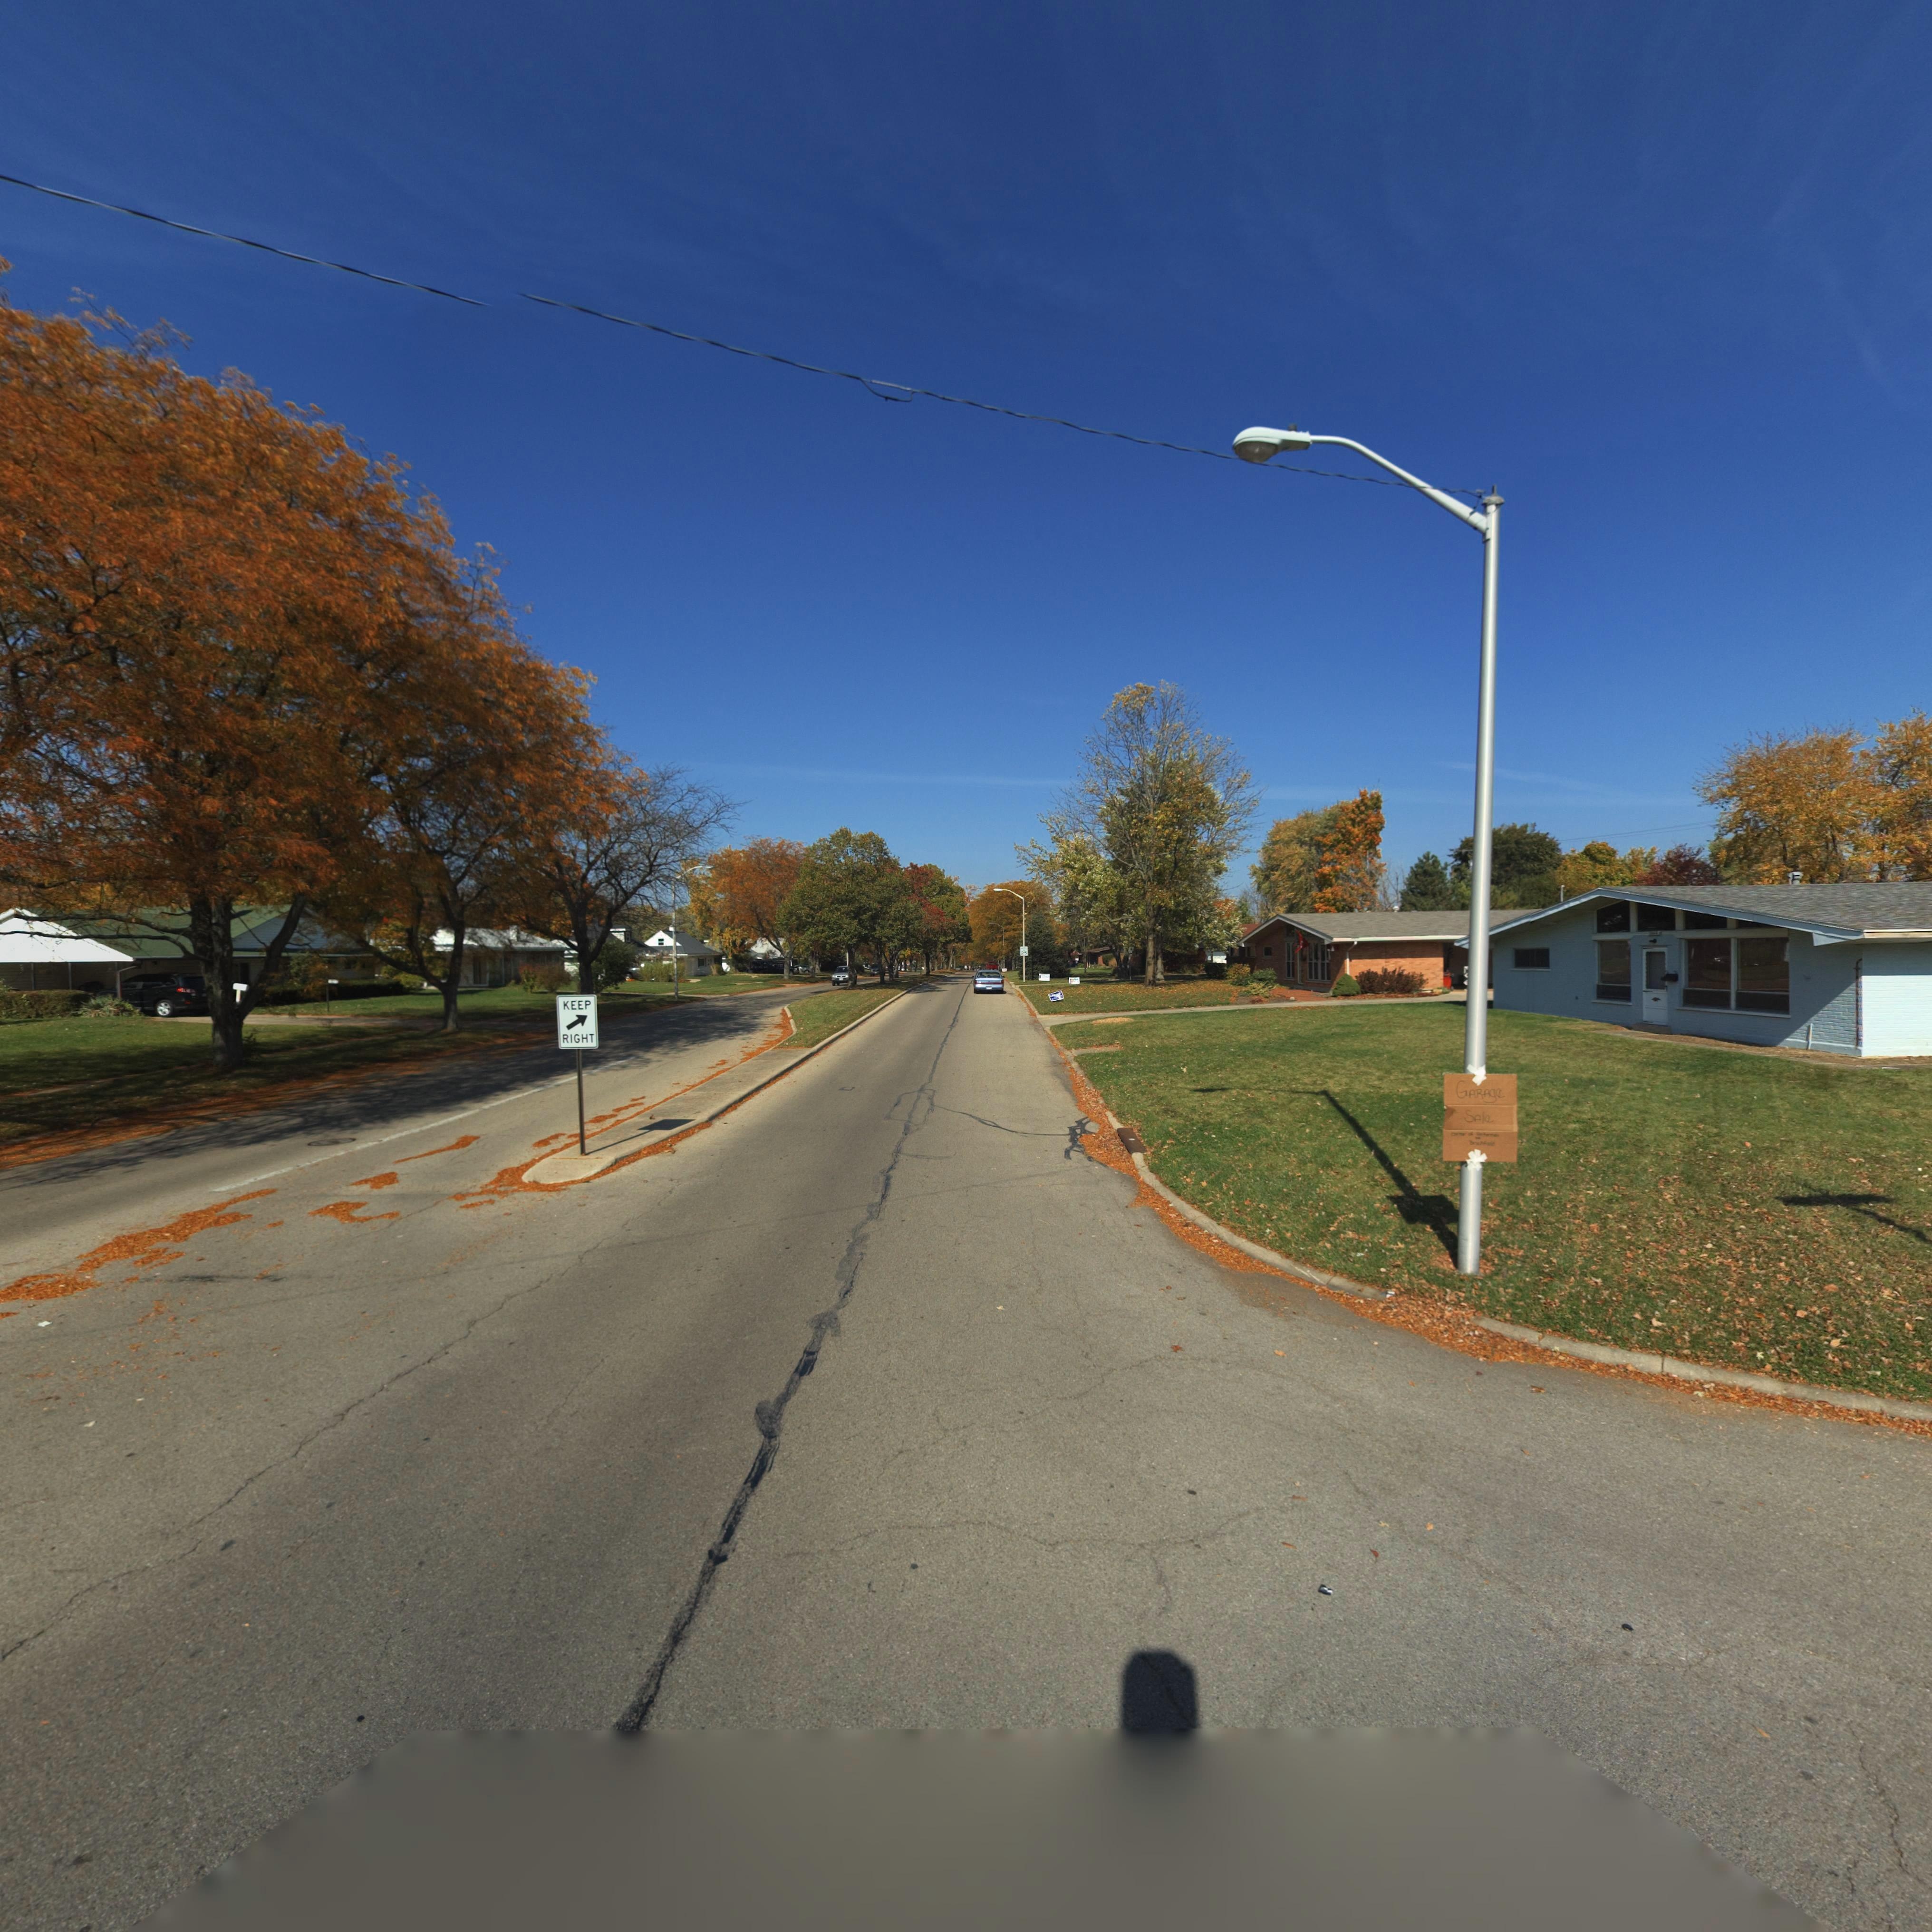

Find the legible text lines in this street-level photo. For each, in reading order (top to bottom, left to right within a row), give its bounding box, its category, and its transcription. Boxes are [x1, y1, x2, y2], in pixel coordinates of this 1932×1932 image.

[562, 999, 592, 1011] None: KEEP
[561, 1032, 596, 1045] None: RIGHT
[1455, 1079, 1507, 1105] None: GARAge
[1463, 1108, 1497, 1126] None: SAle